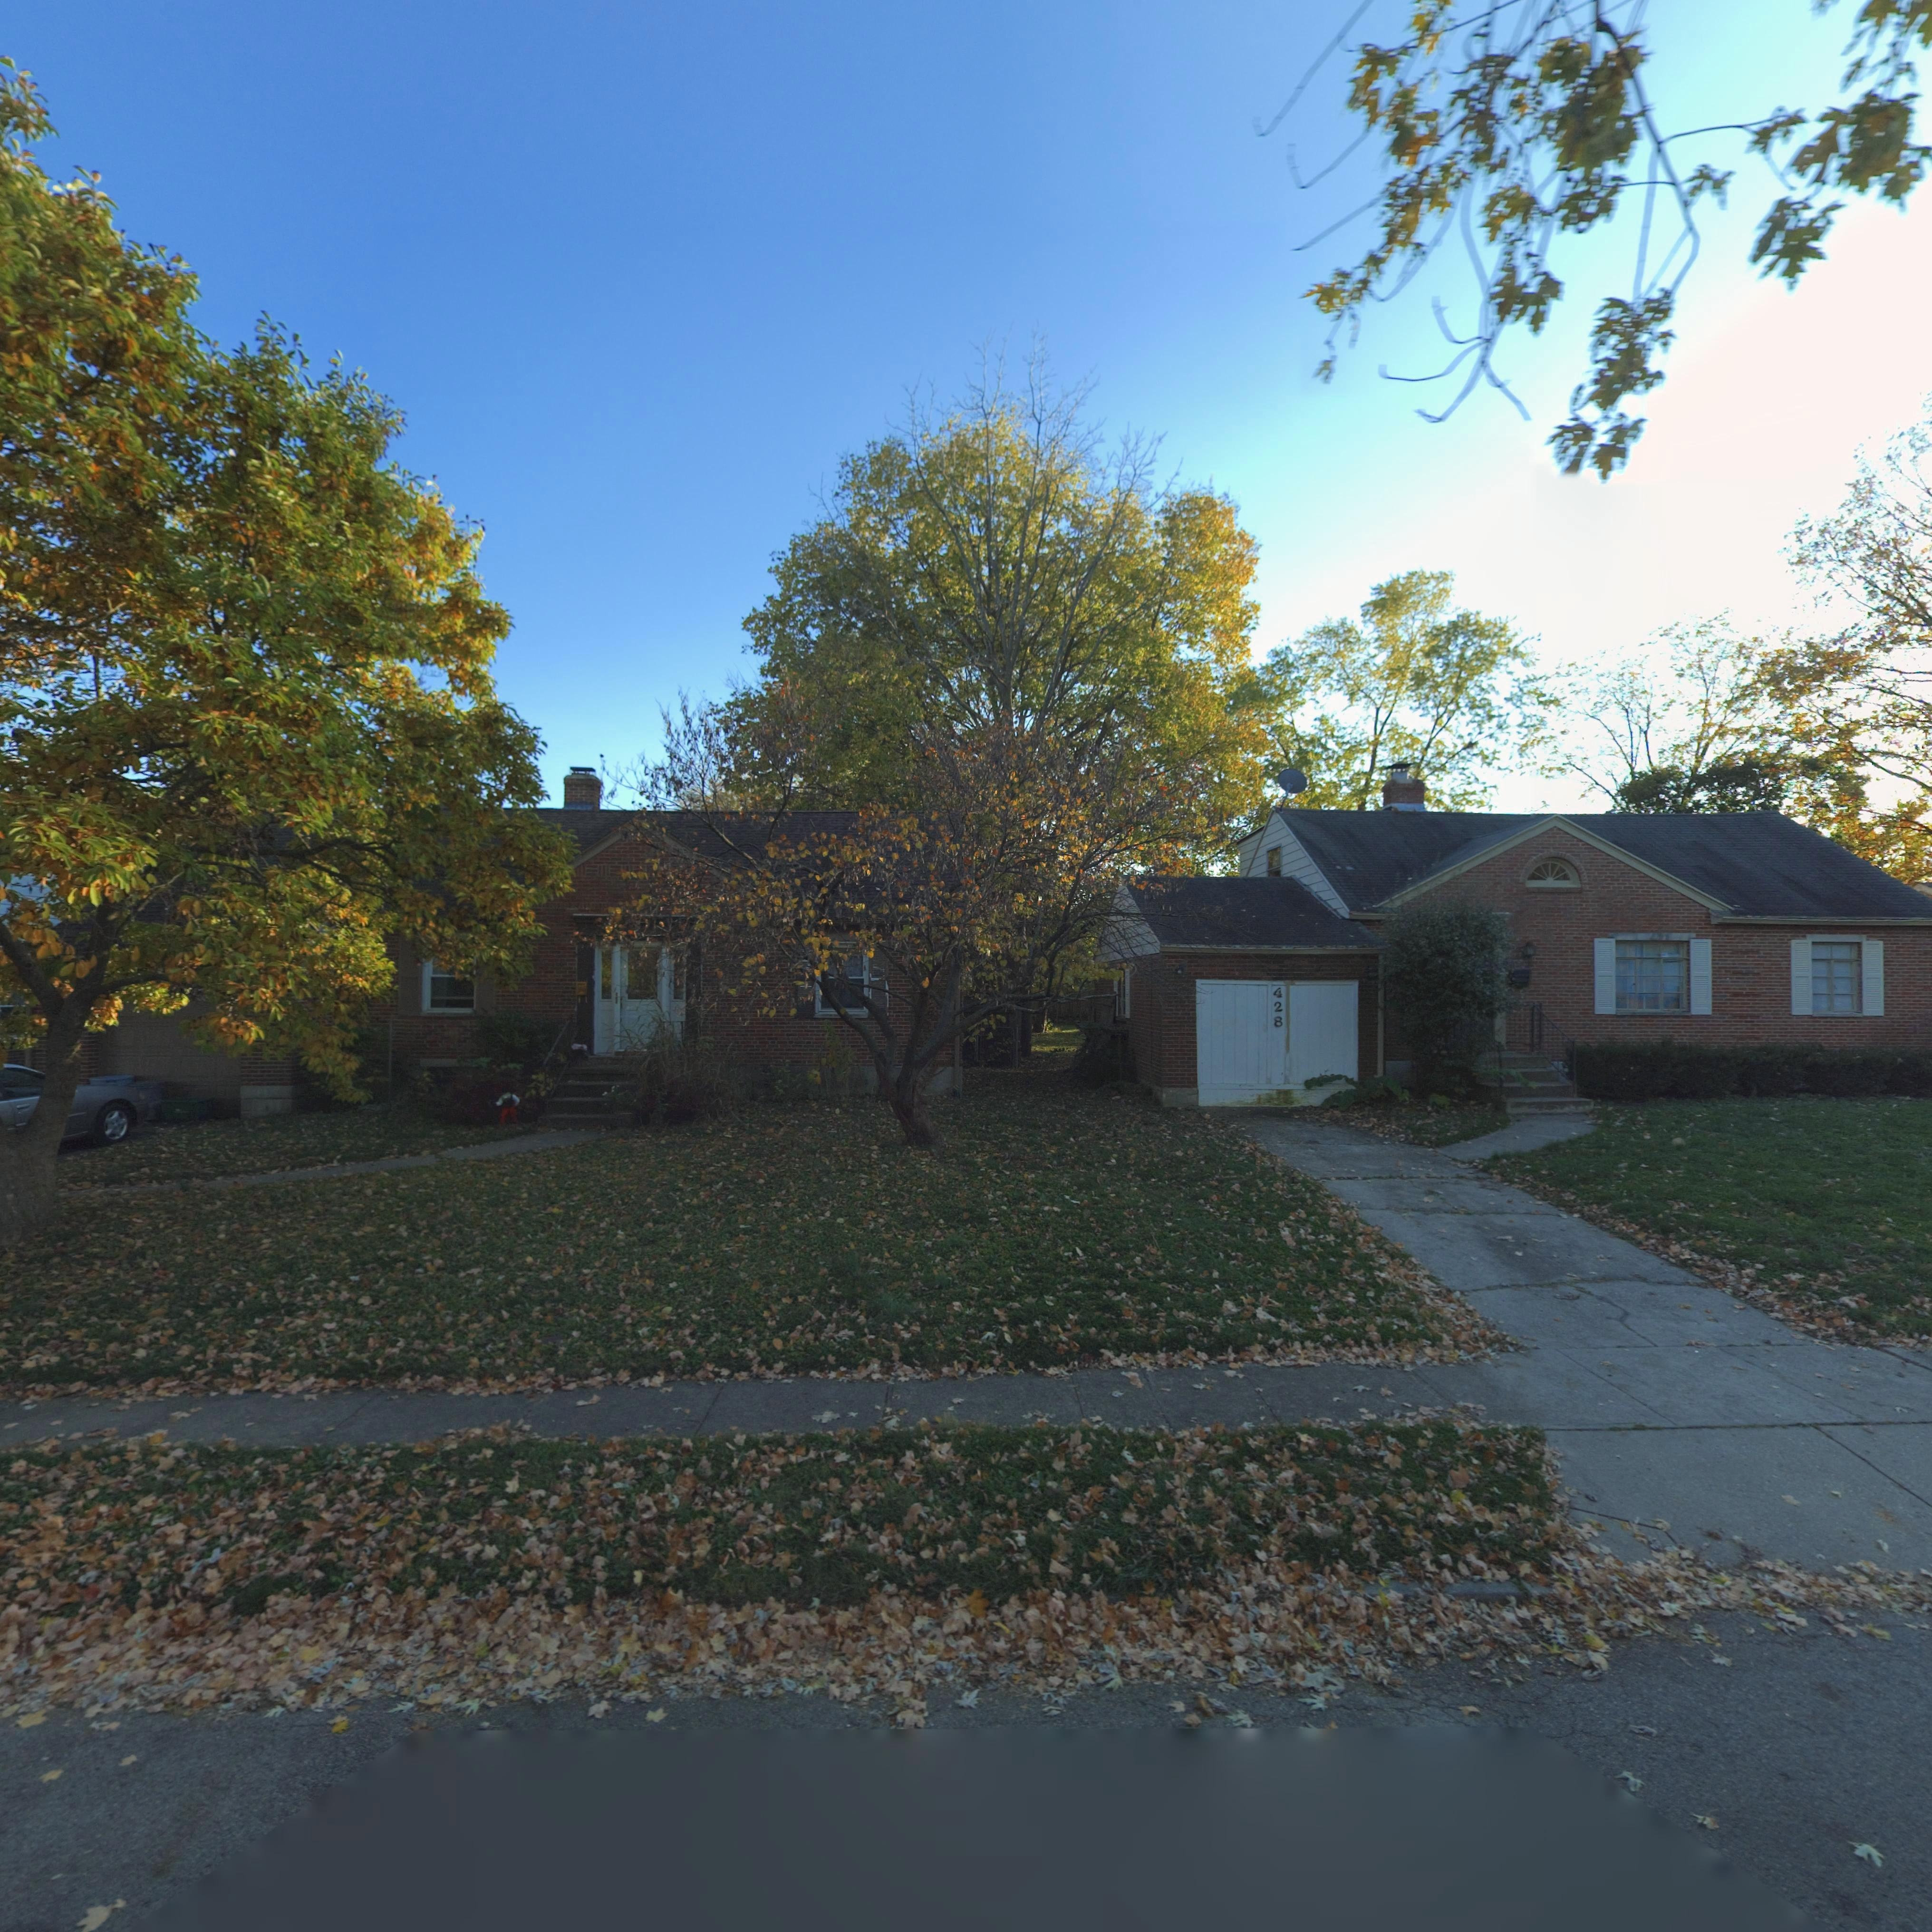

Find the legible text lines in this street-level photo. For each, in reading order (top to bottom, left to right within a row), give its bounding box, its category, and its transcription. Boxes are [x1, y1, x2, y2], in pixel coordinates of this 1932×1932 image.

[1272, 985, 1285, 1029] StreetNumber: 428